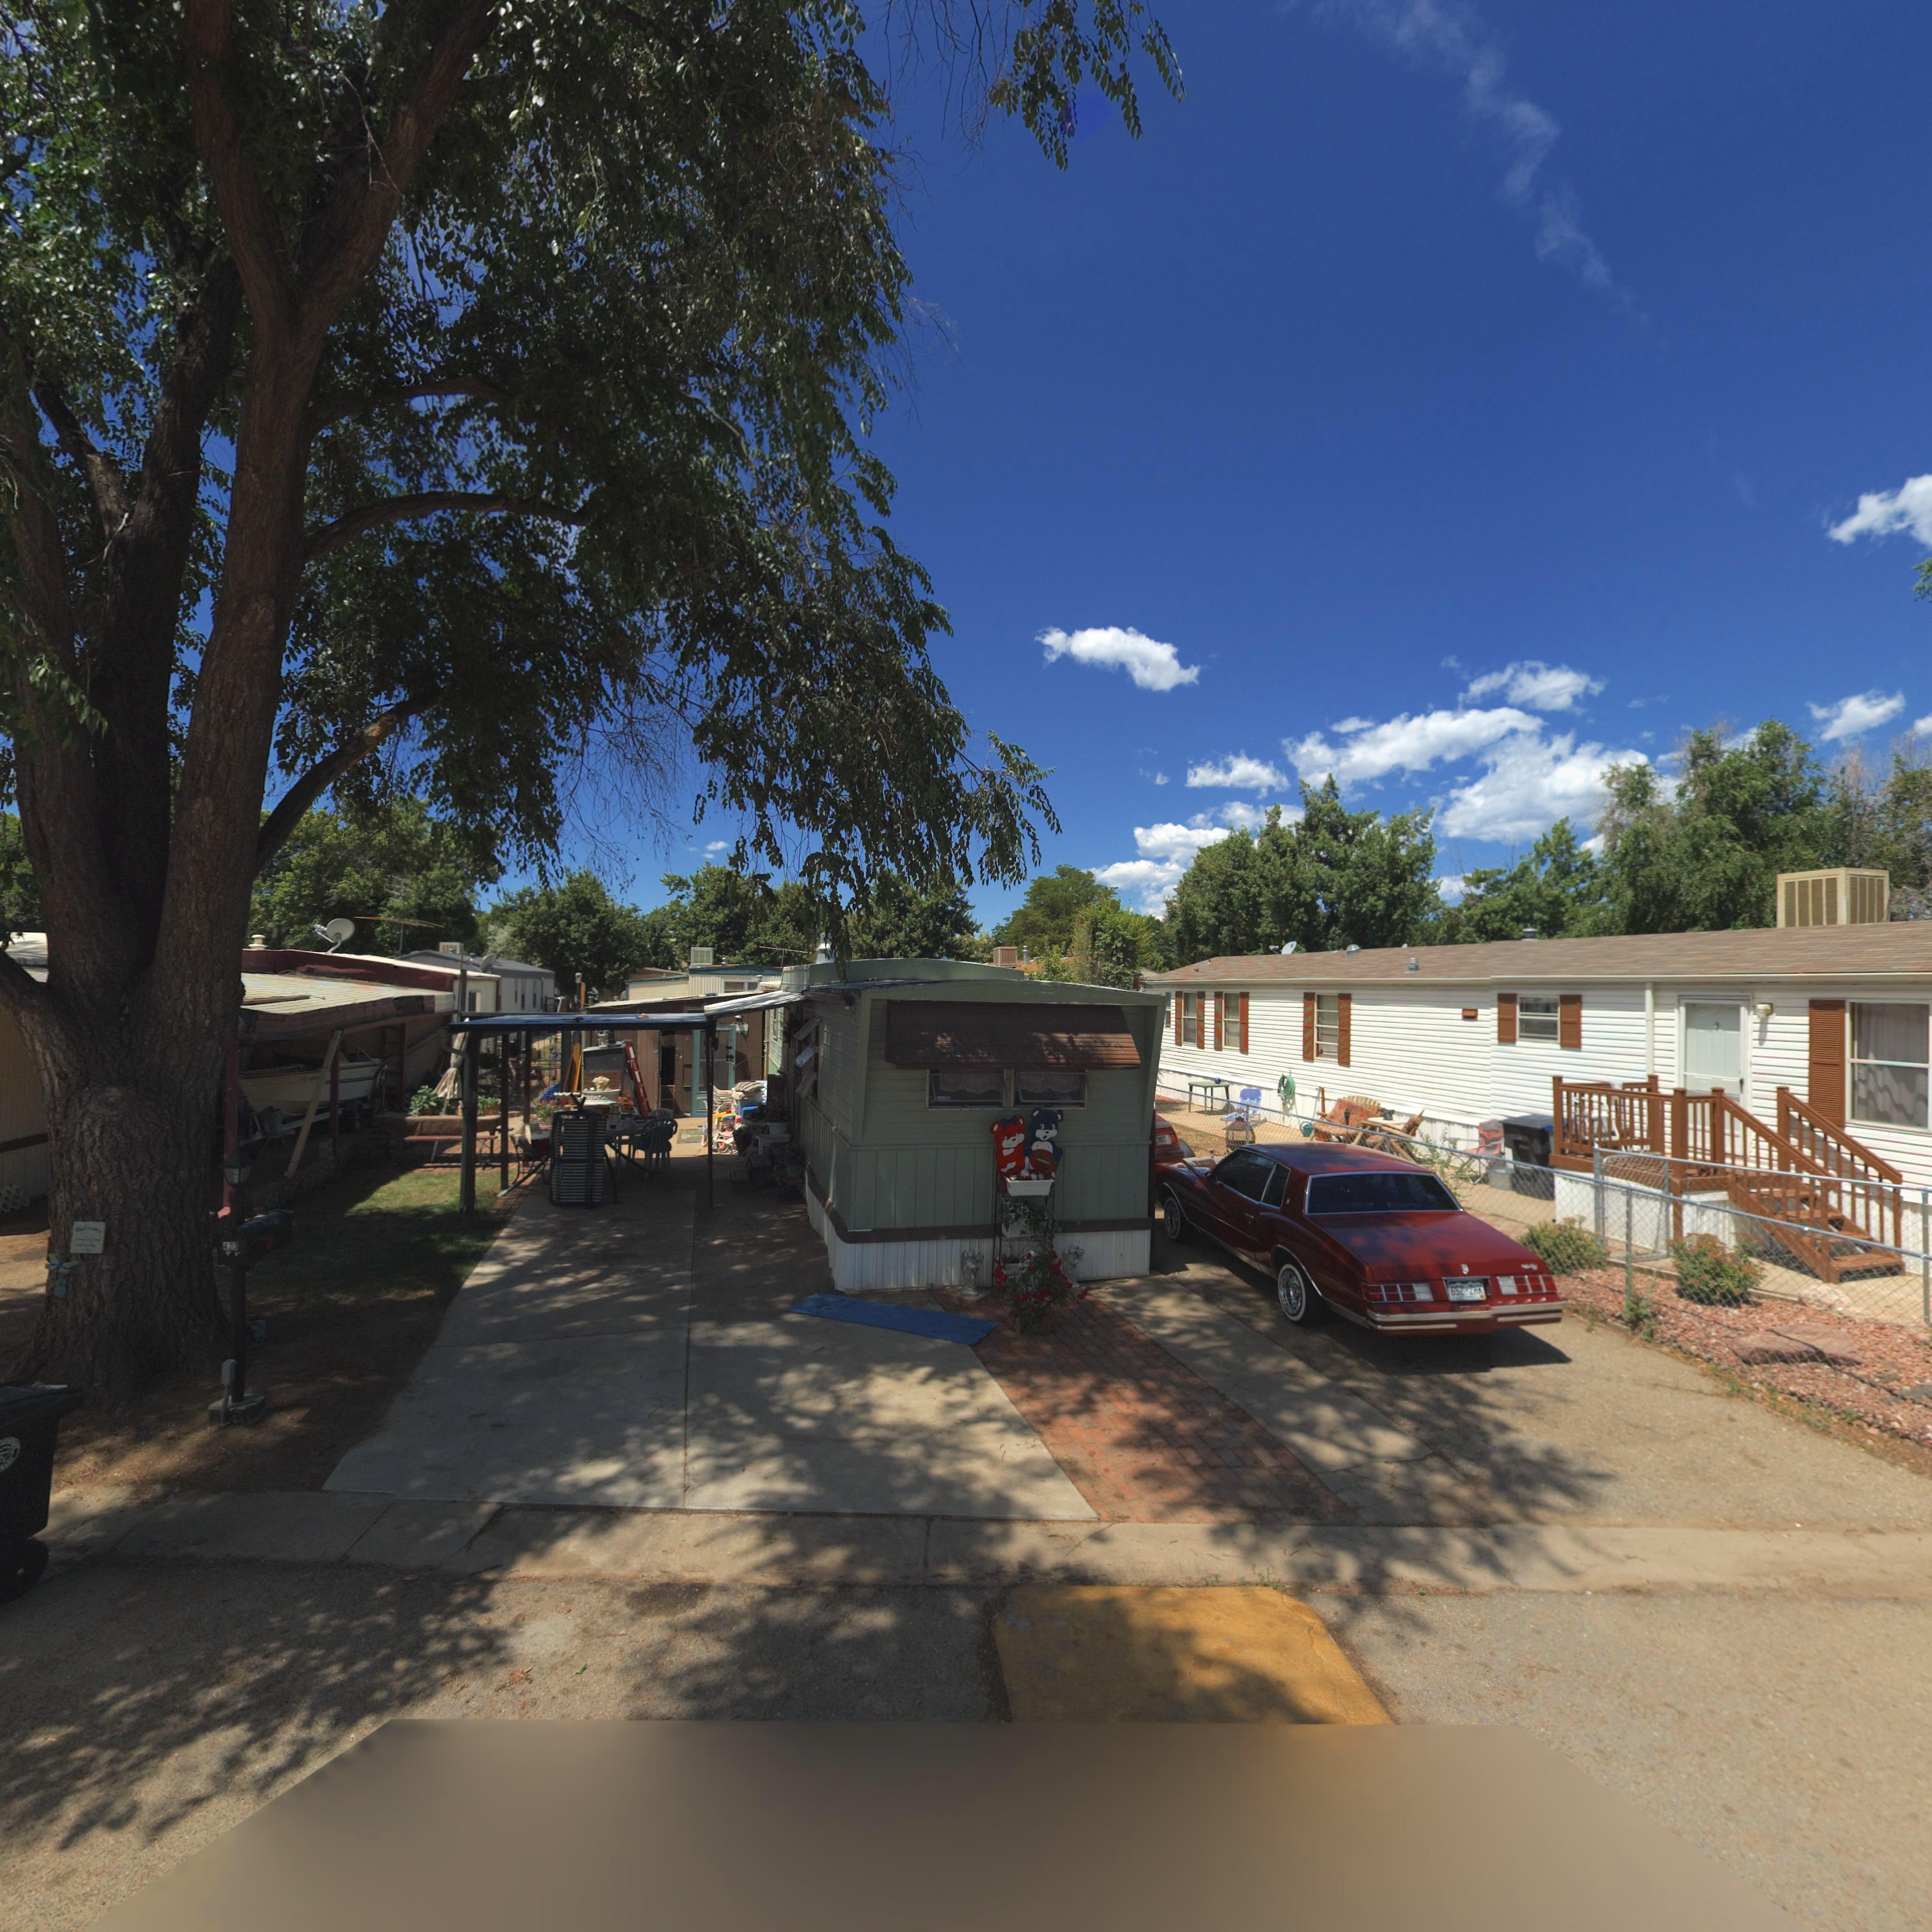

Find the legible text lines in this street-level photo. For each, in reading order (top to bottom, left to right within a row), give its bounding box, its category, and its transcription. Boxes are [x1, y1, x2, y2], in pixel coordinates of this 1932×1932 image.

[223, 1242, 238, 1250] StreetNumber: 423